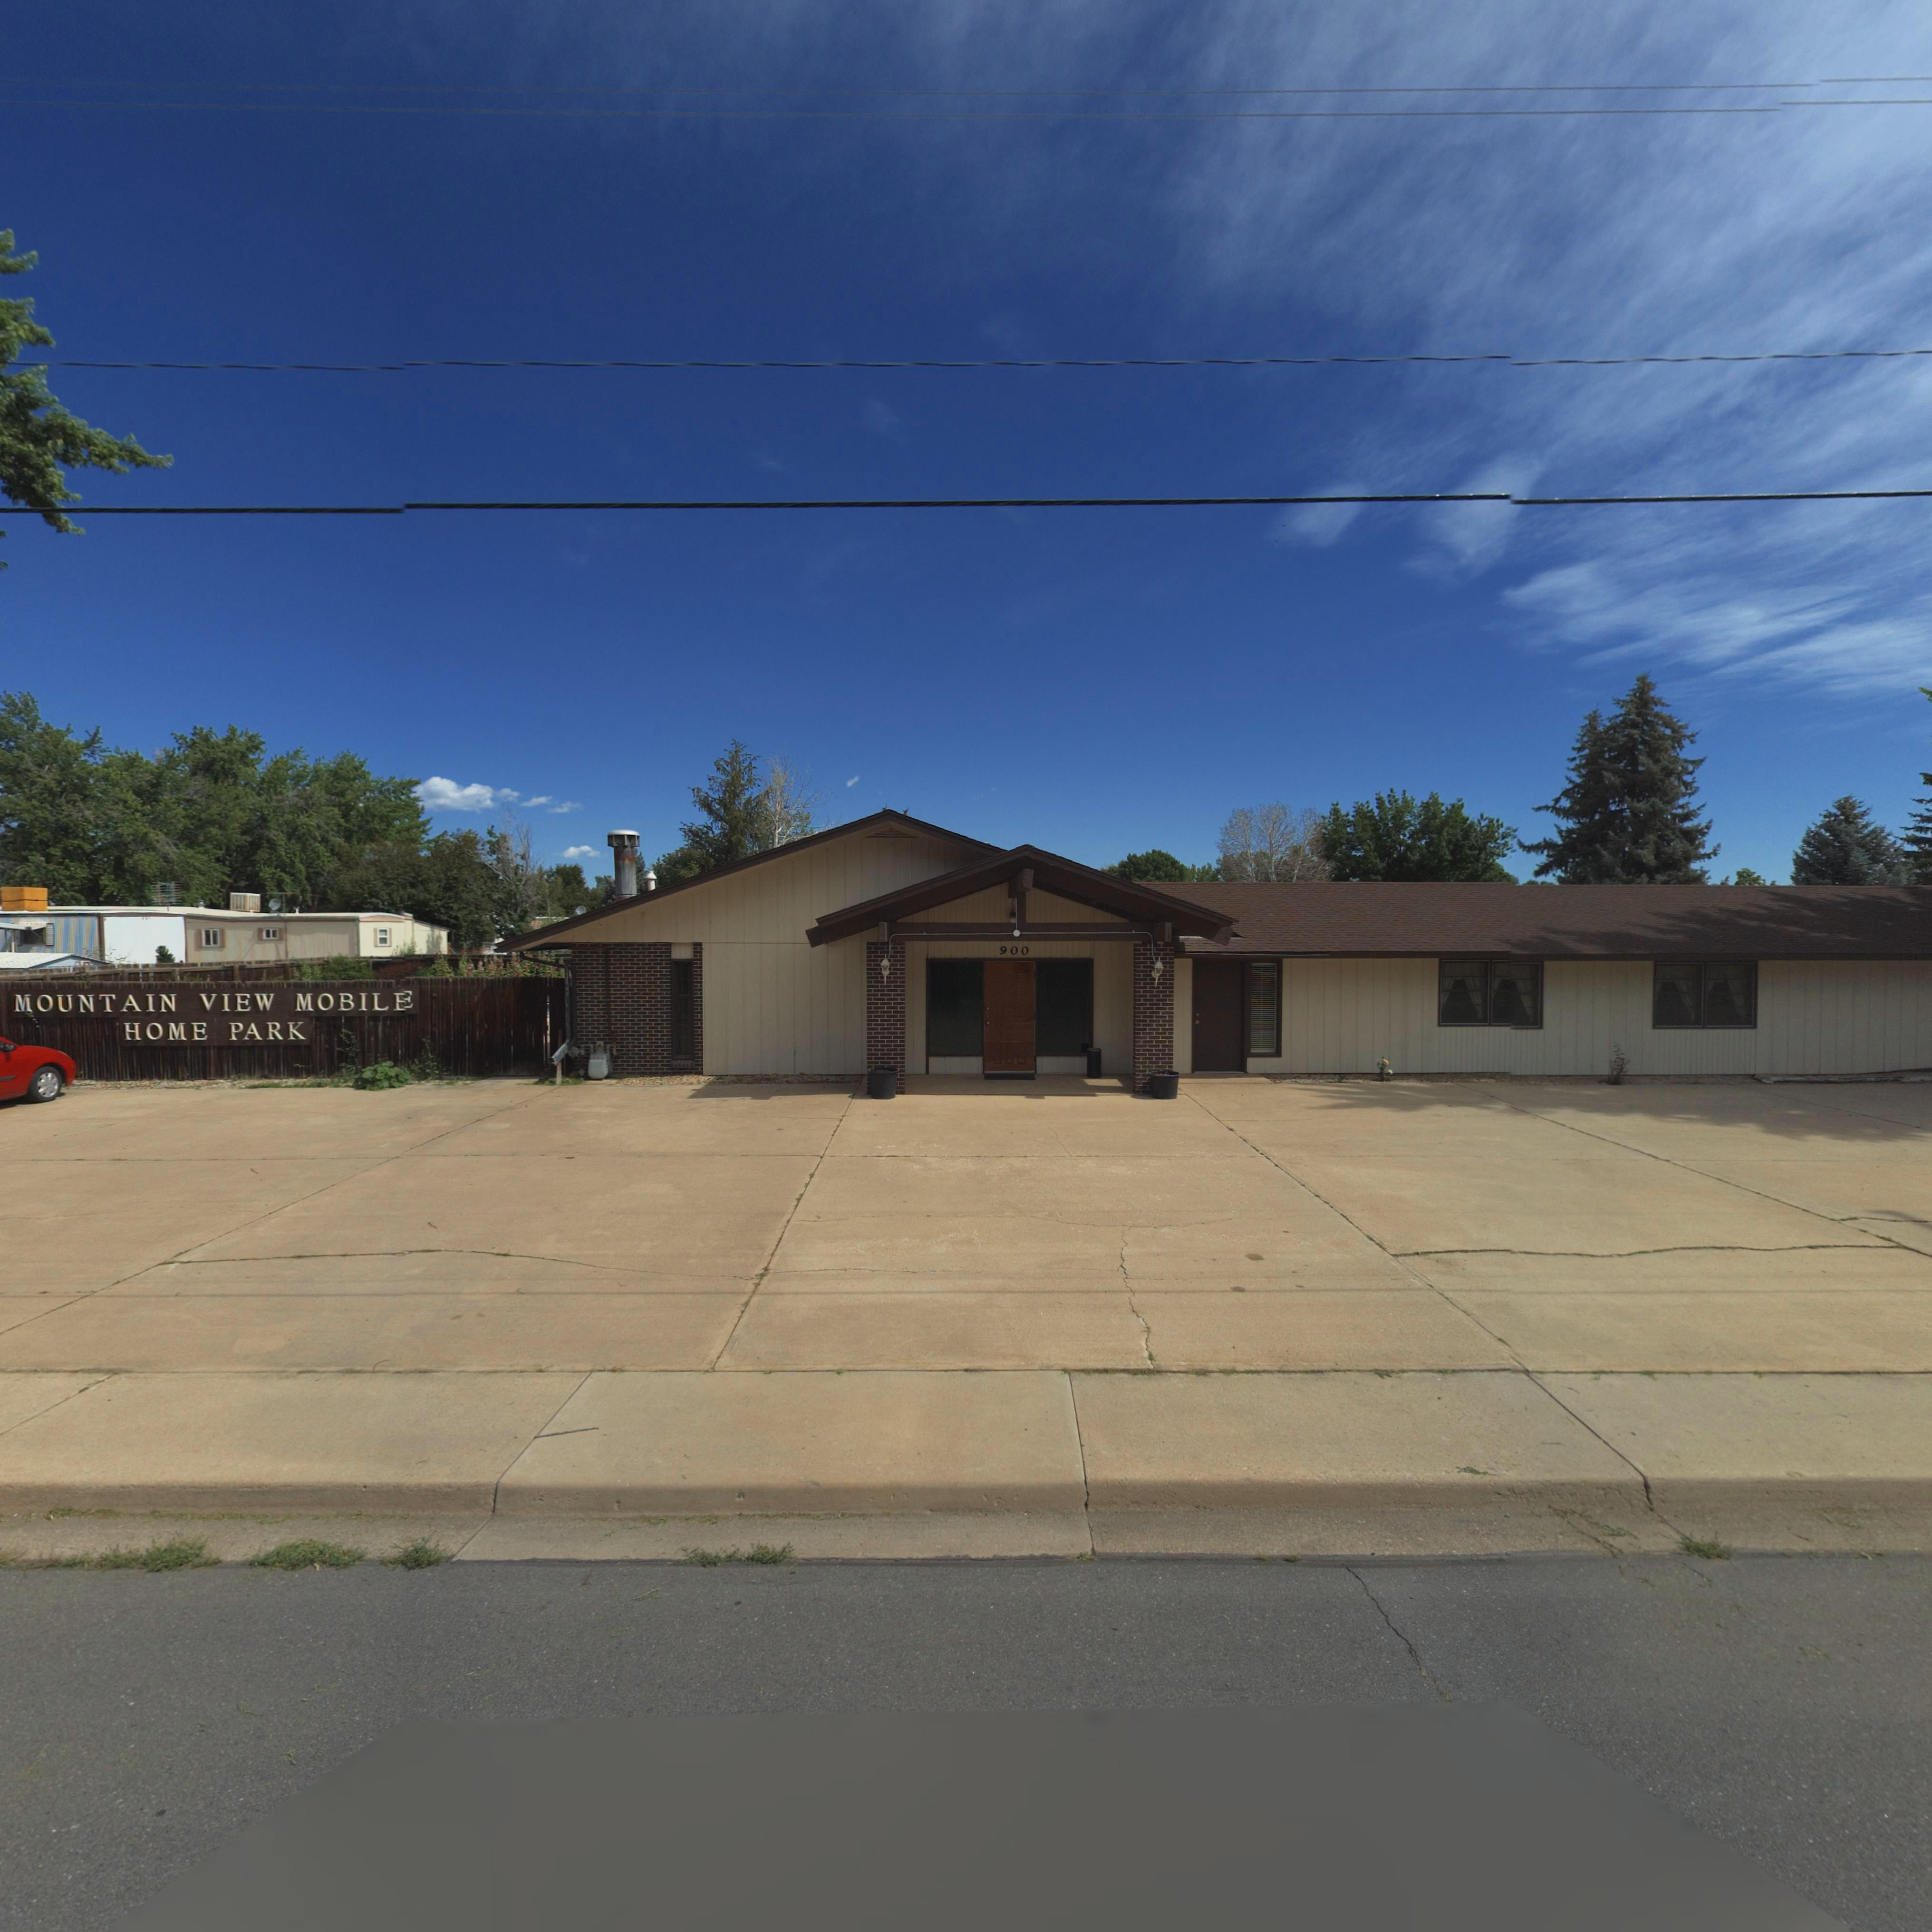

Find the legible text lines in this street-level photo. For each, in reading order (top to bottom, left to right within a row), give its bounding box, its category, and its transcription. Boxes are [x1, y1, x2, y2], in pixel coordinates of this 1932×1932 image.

[999, 945, 1029, 956] StreetNumber: 900
[13, 989, 414, 1014] BusinessName: MOUNTAIN VIEW MOBIL**
[122, 1021, 307, 1041] BusinessName: HOME PARK